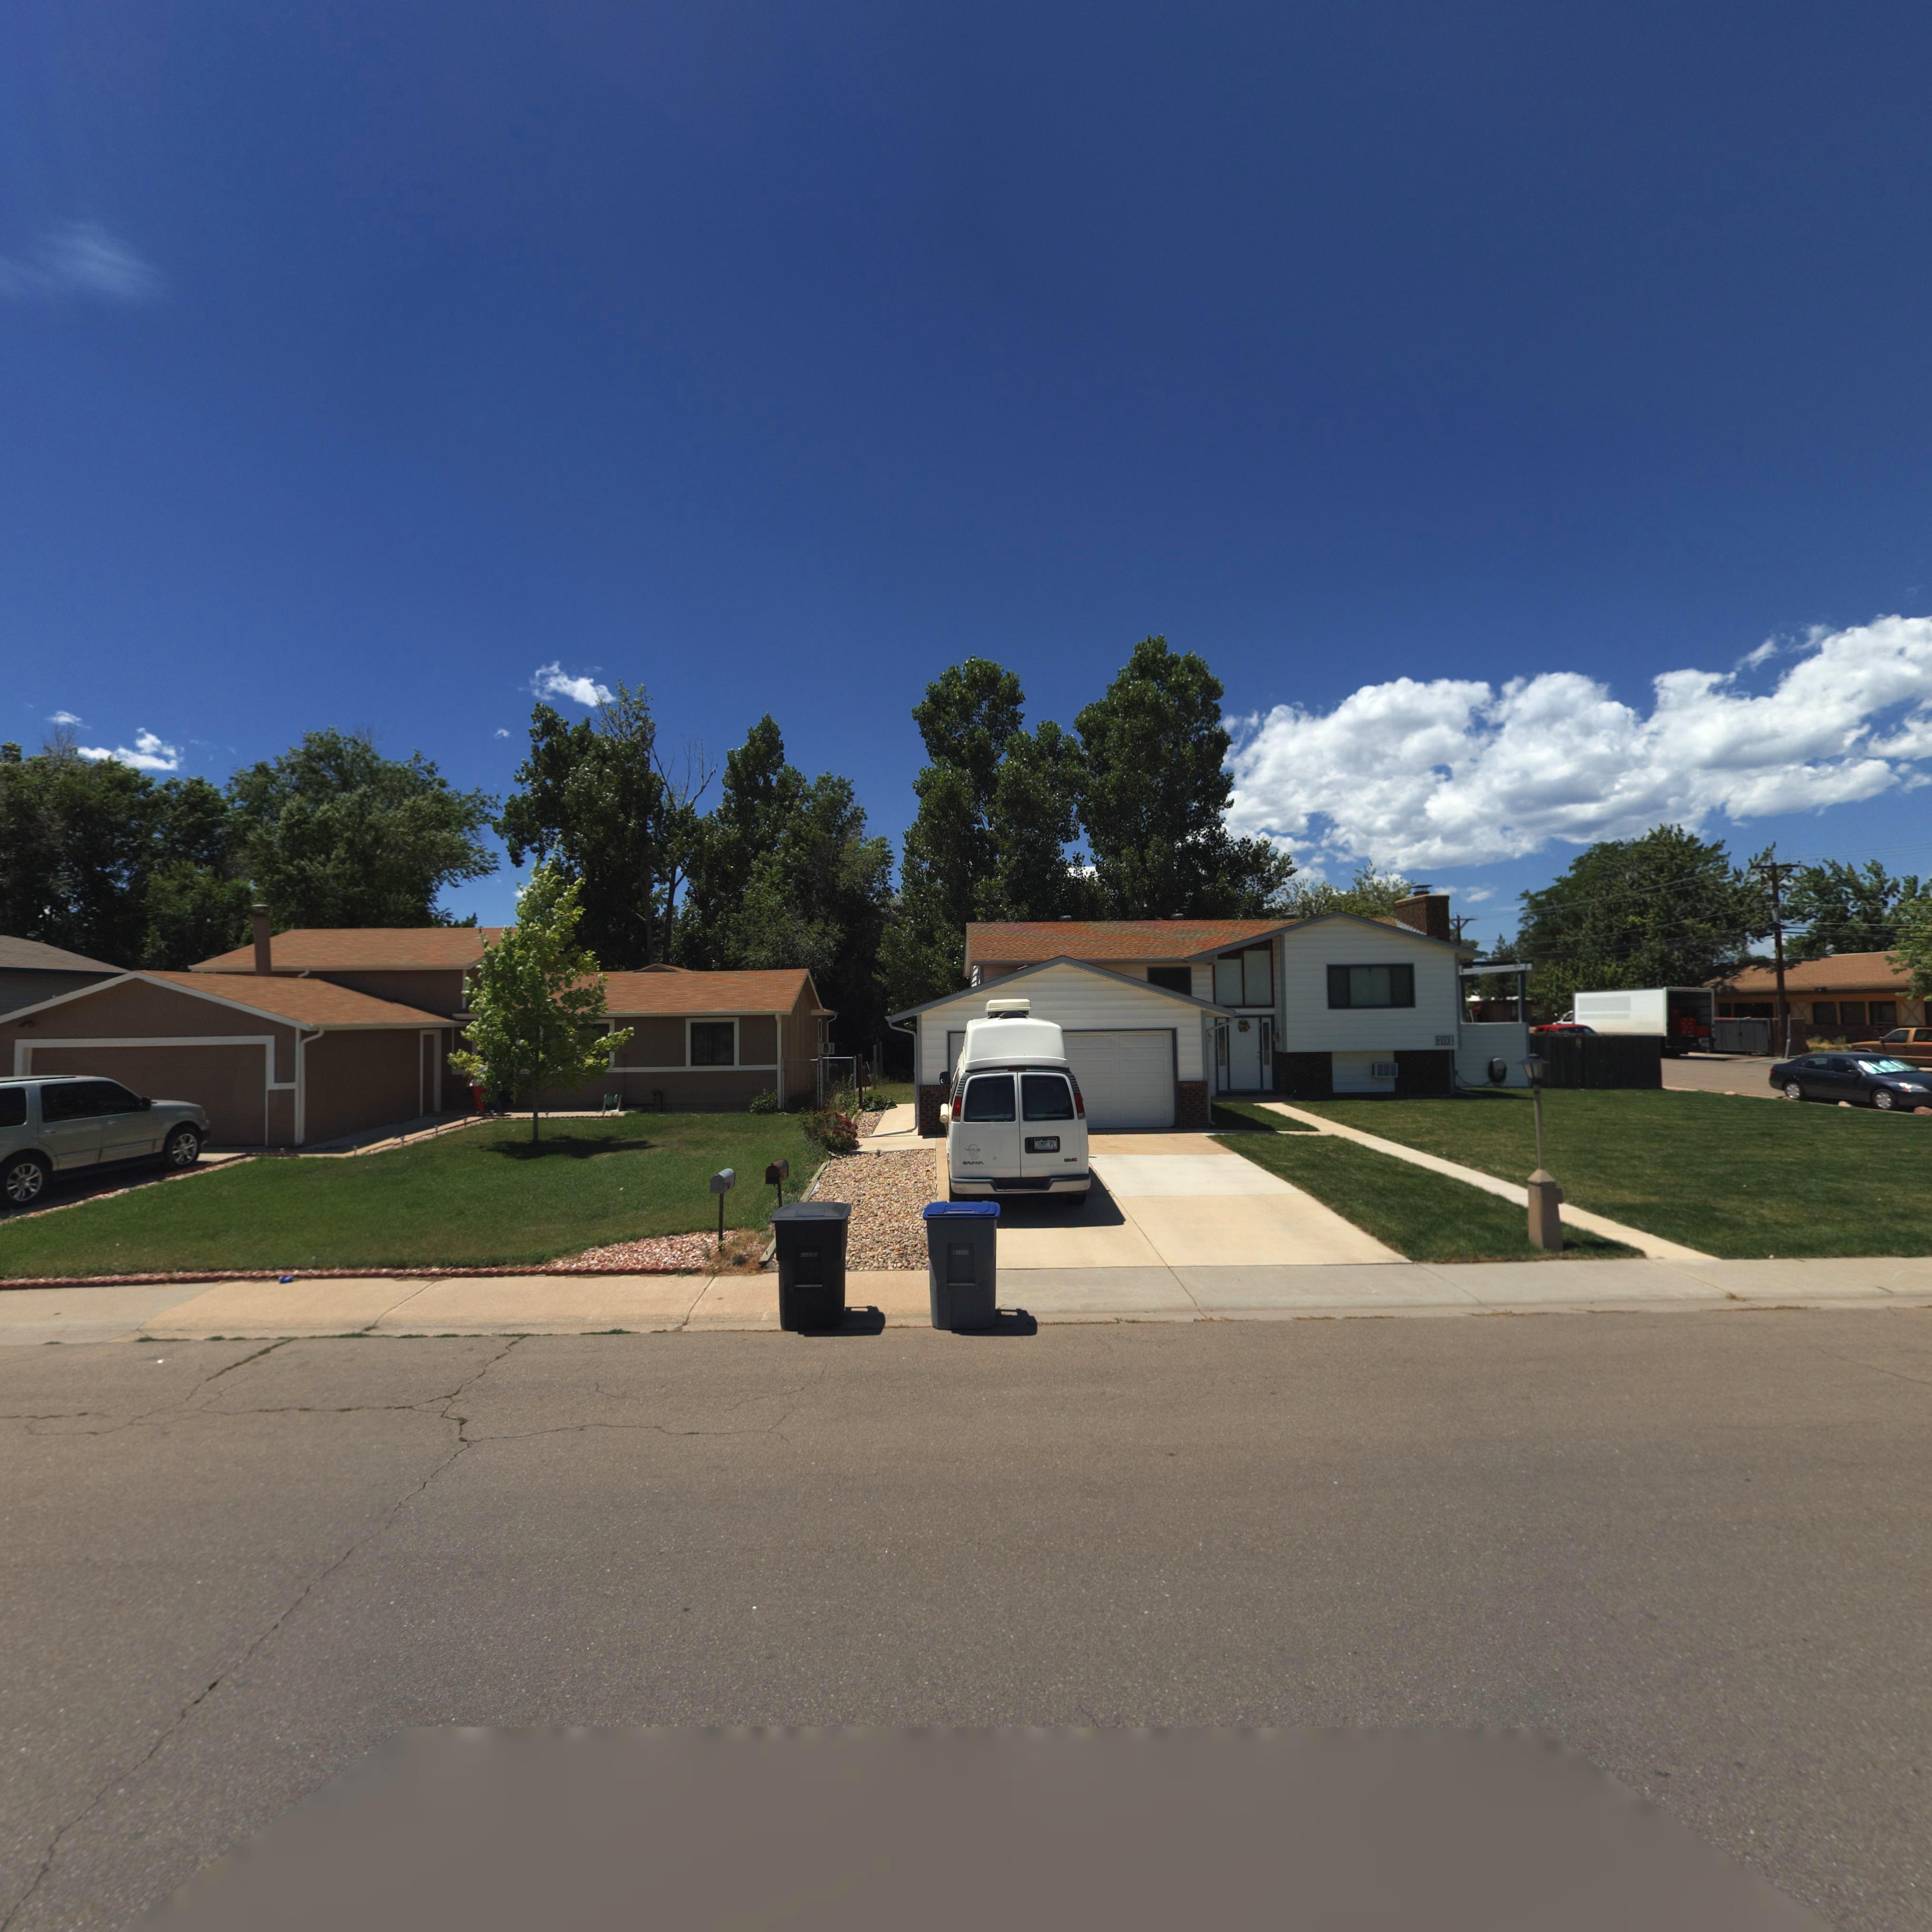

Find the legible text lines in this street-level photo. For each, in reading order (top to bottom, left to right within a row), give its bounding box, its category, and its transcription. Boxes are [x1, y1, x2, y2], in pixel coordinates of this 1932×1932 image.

[1437, 1035, 1453, 1045] StreetNumber: 701